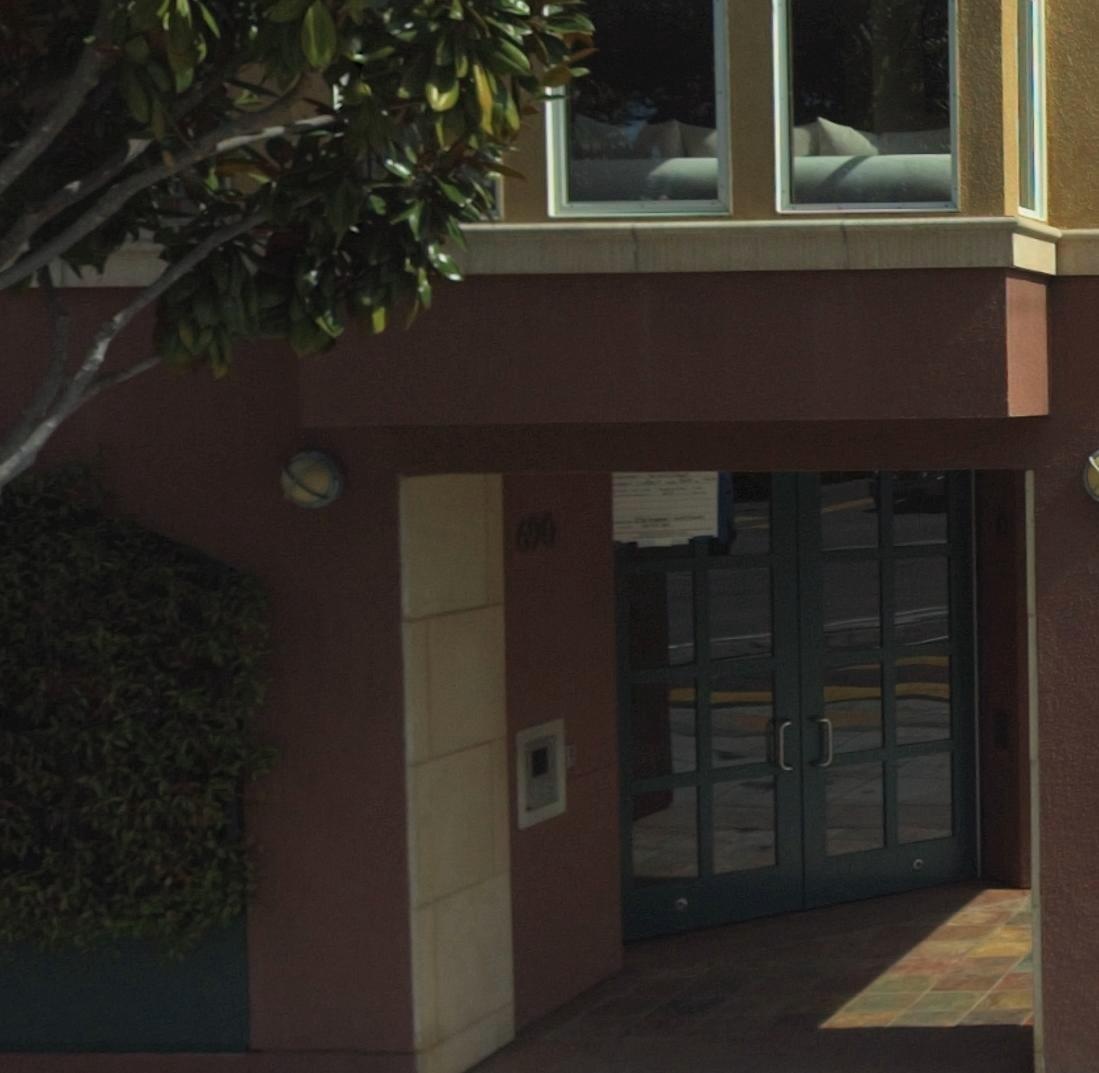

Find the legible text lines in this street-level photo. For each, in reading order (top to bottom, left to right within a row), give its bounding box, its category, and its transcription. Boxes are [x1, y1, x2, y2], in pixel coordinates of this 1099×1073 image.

[514, 509, 559, 555] StreetNumber: 690